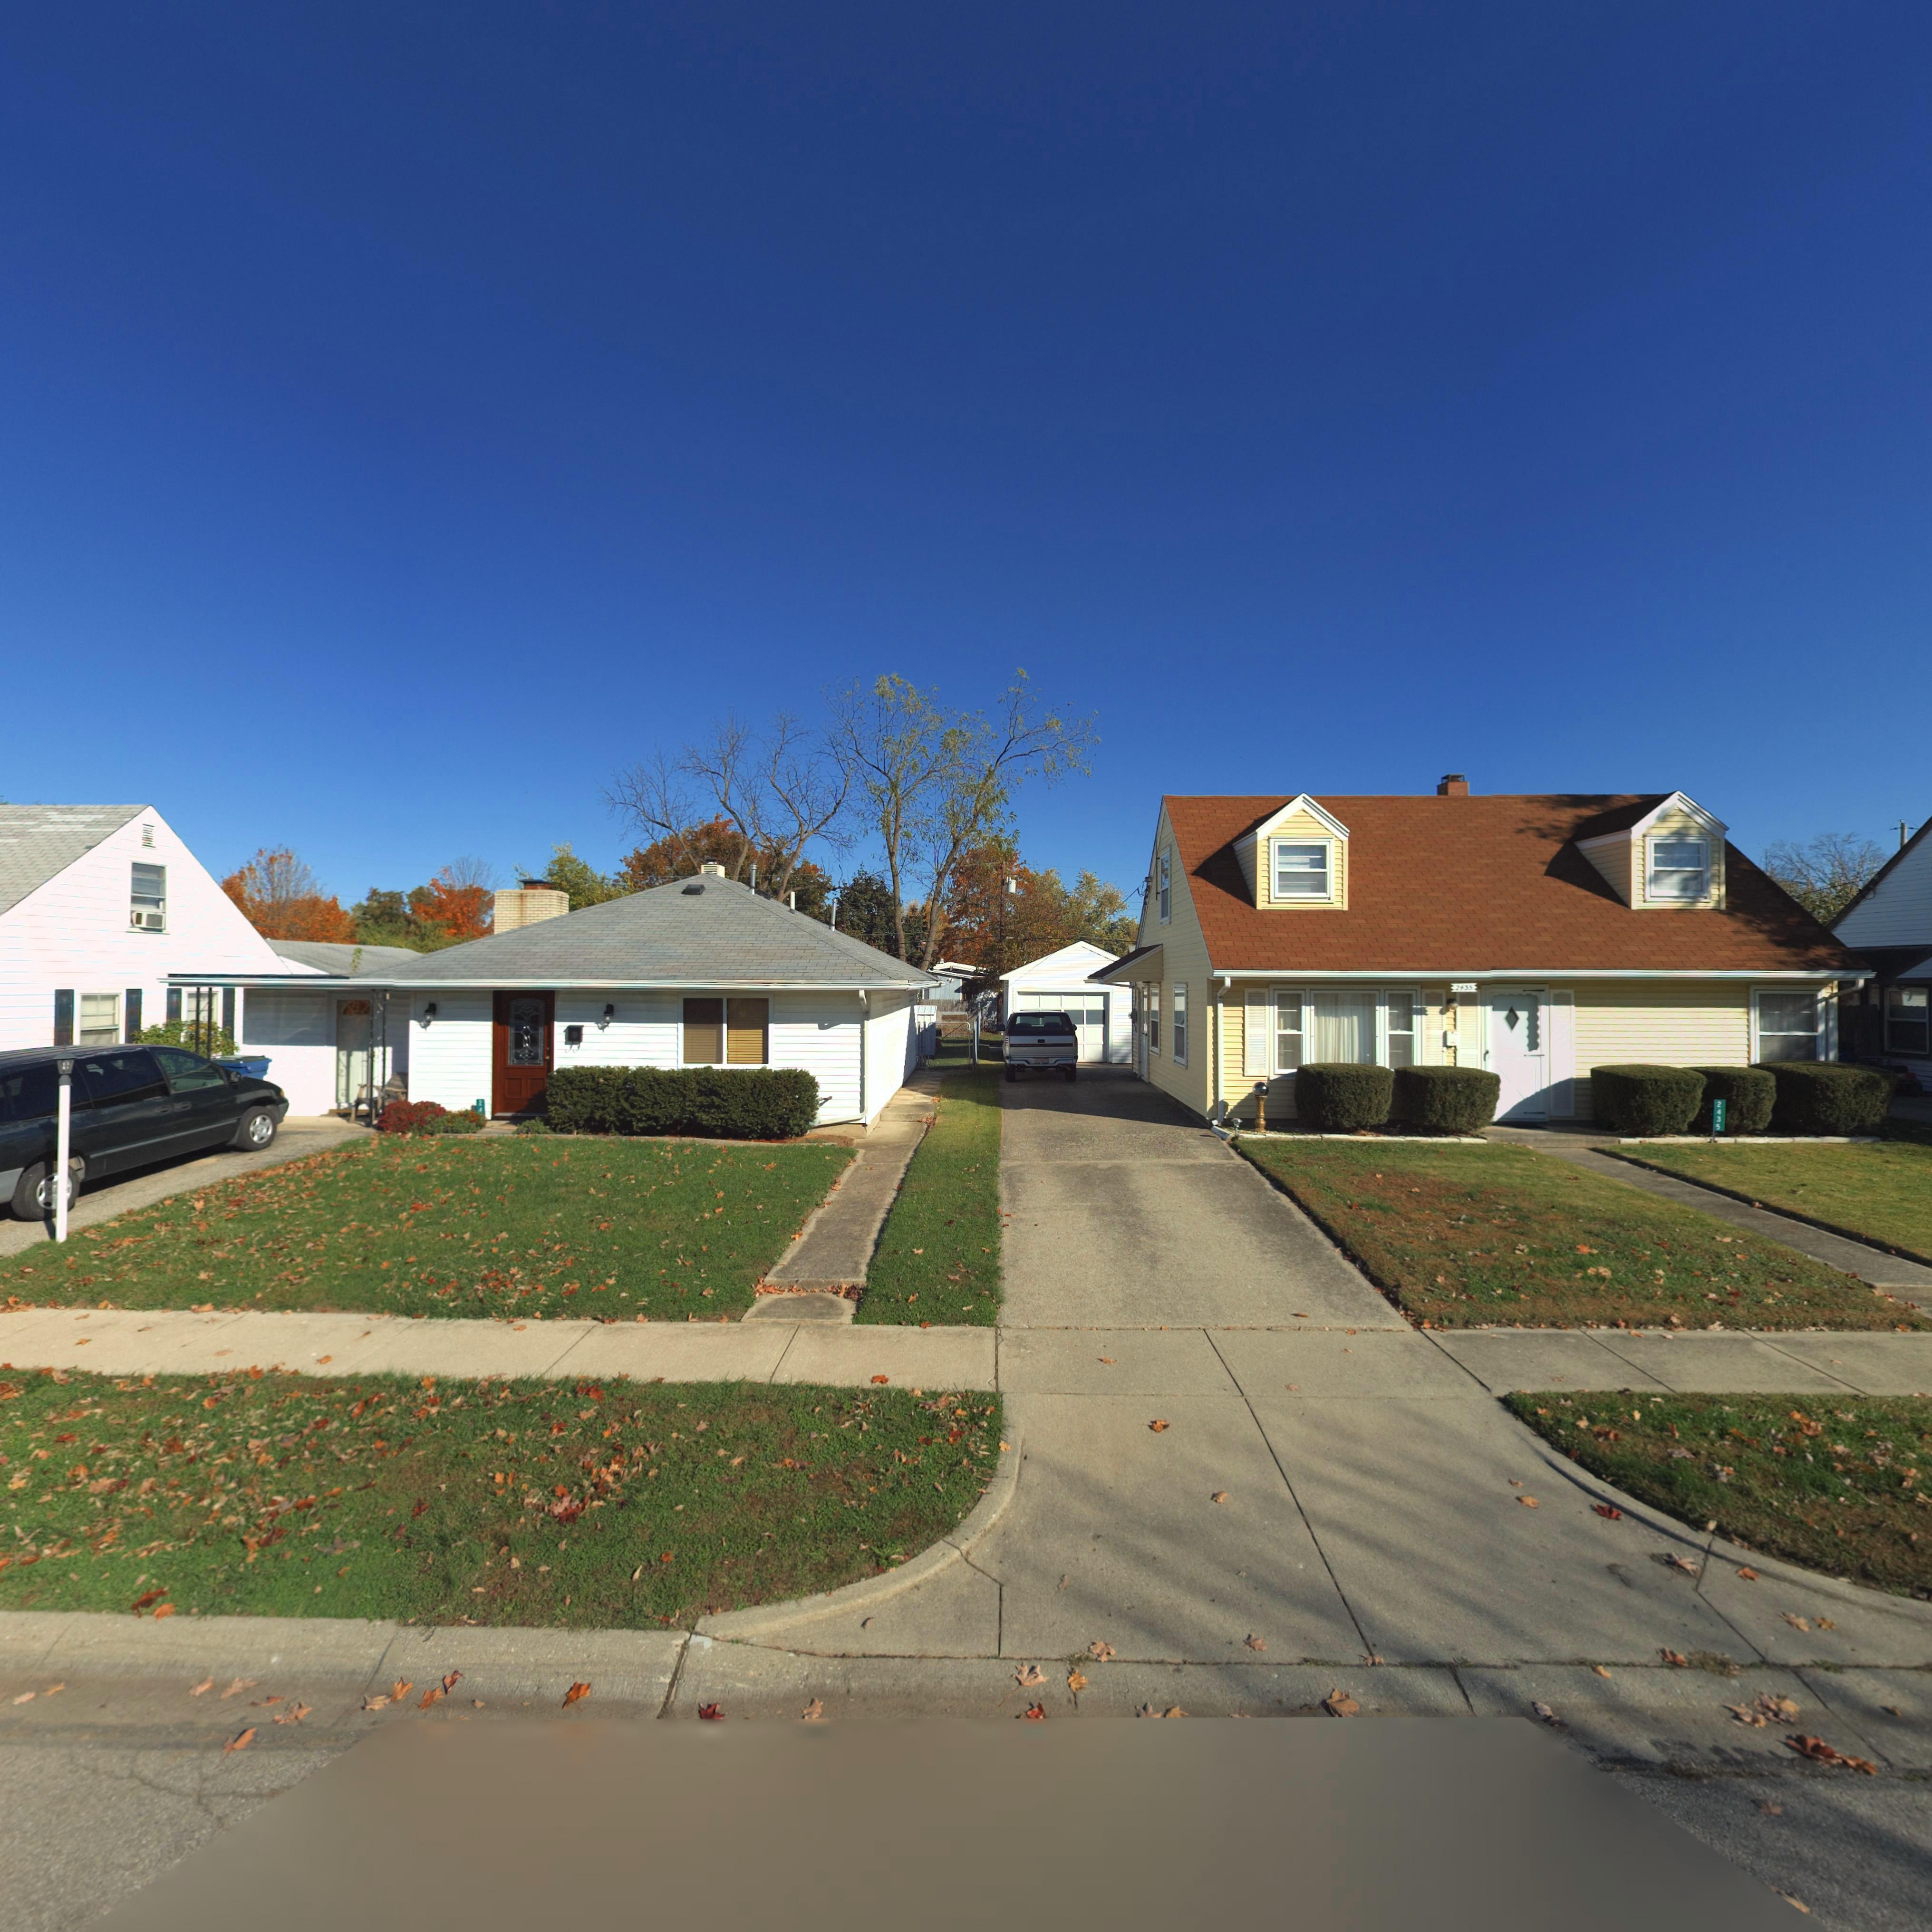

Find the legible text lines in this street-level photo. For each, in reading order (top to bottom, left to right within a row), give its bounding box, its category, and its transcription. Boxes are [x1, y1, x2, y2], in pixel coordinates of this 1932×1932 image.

[1454, 984, 1474, 992] StreetNumber: 24*5
[477, 1099, 483, 1107] StreetNumber: 2
[1715, 1100, 1723, 1131] StreetNumber: 2435